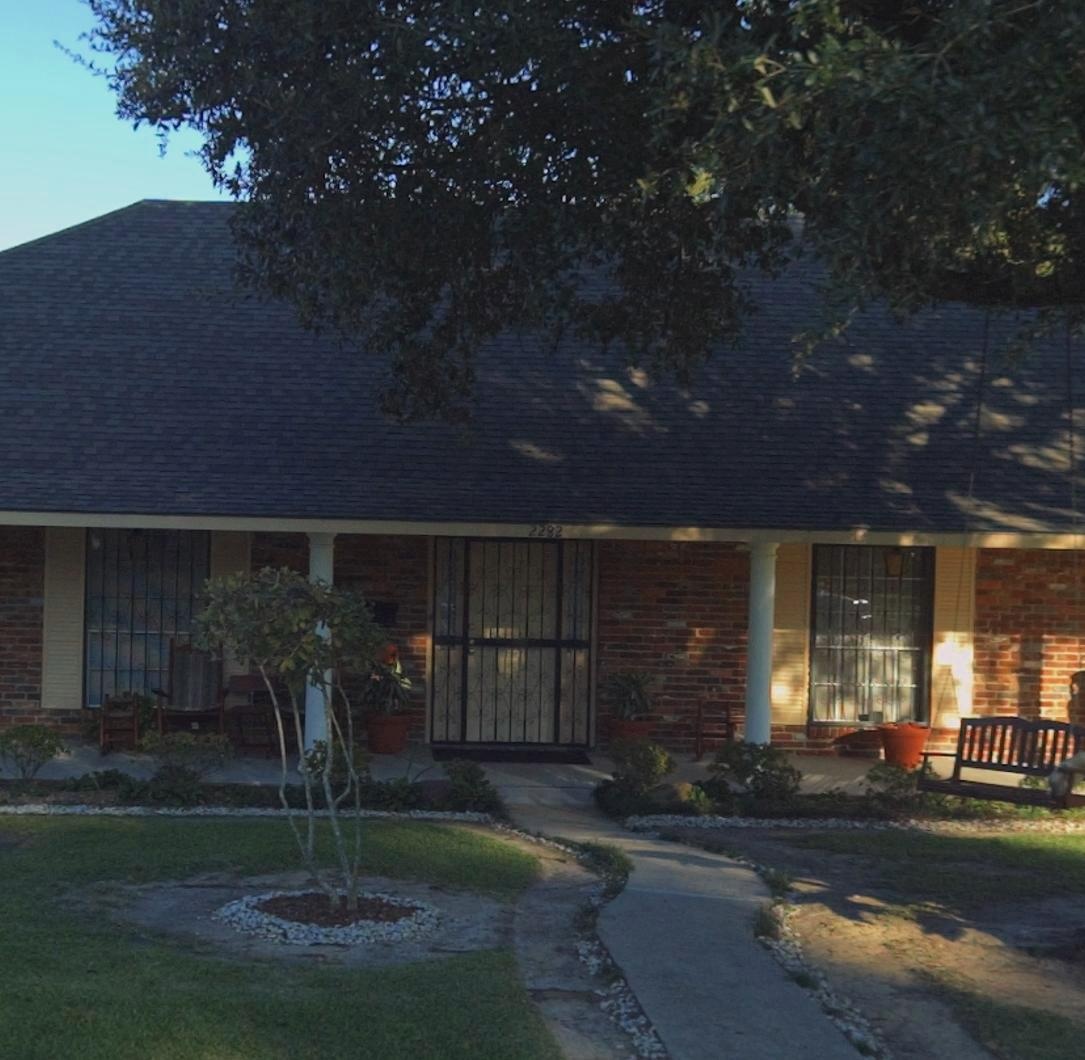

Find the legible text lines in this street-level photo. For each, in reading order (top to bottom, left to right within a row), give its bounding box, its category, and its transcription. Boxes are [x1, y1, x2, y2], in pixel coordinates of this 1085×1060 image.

[527, 524, 564, 538] StreetNumber: 2282